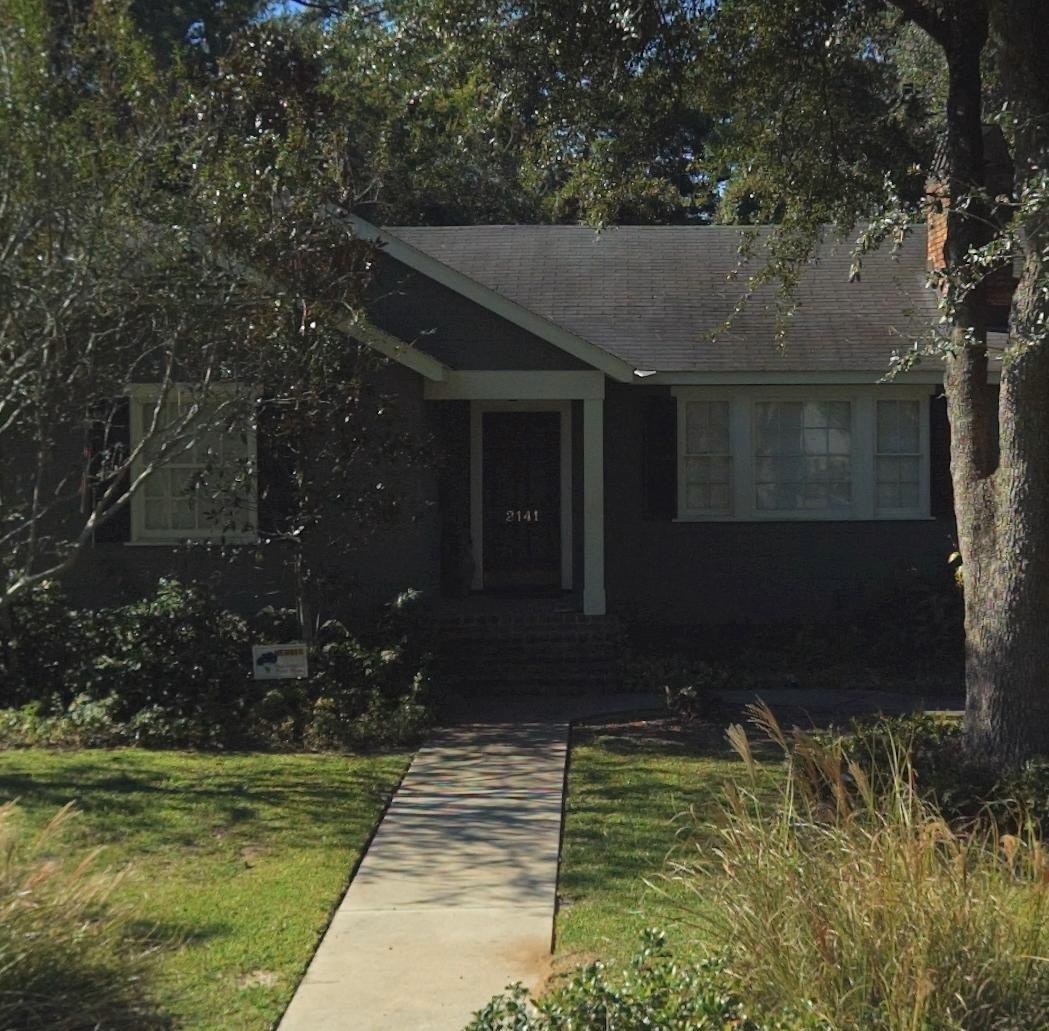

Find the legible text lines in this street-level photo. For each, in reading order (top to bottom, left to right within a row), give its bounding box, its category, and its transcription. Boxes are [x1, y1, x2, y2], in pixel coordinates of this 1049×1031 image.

[504, 508, 541, 524] StreetNumber: 2141